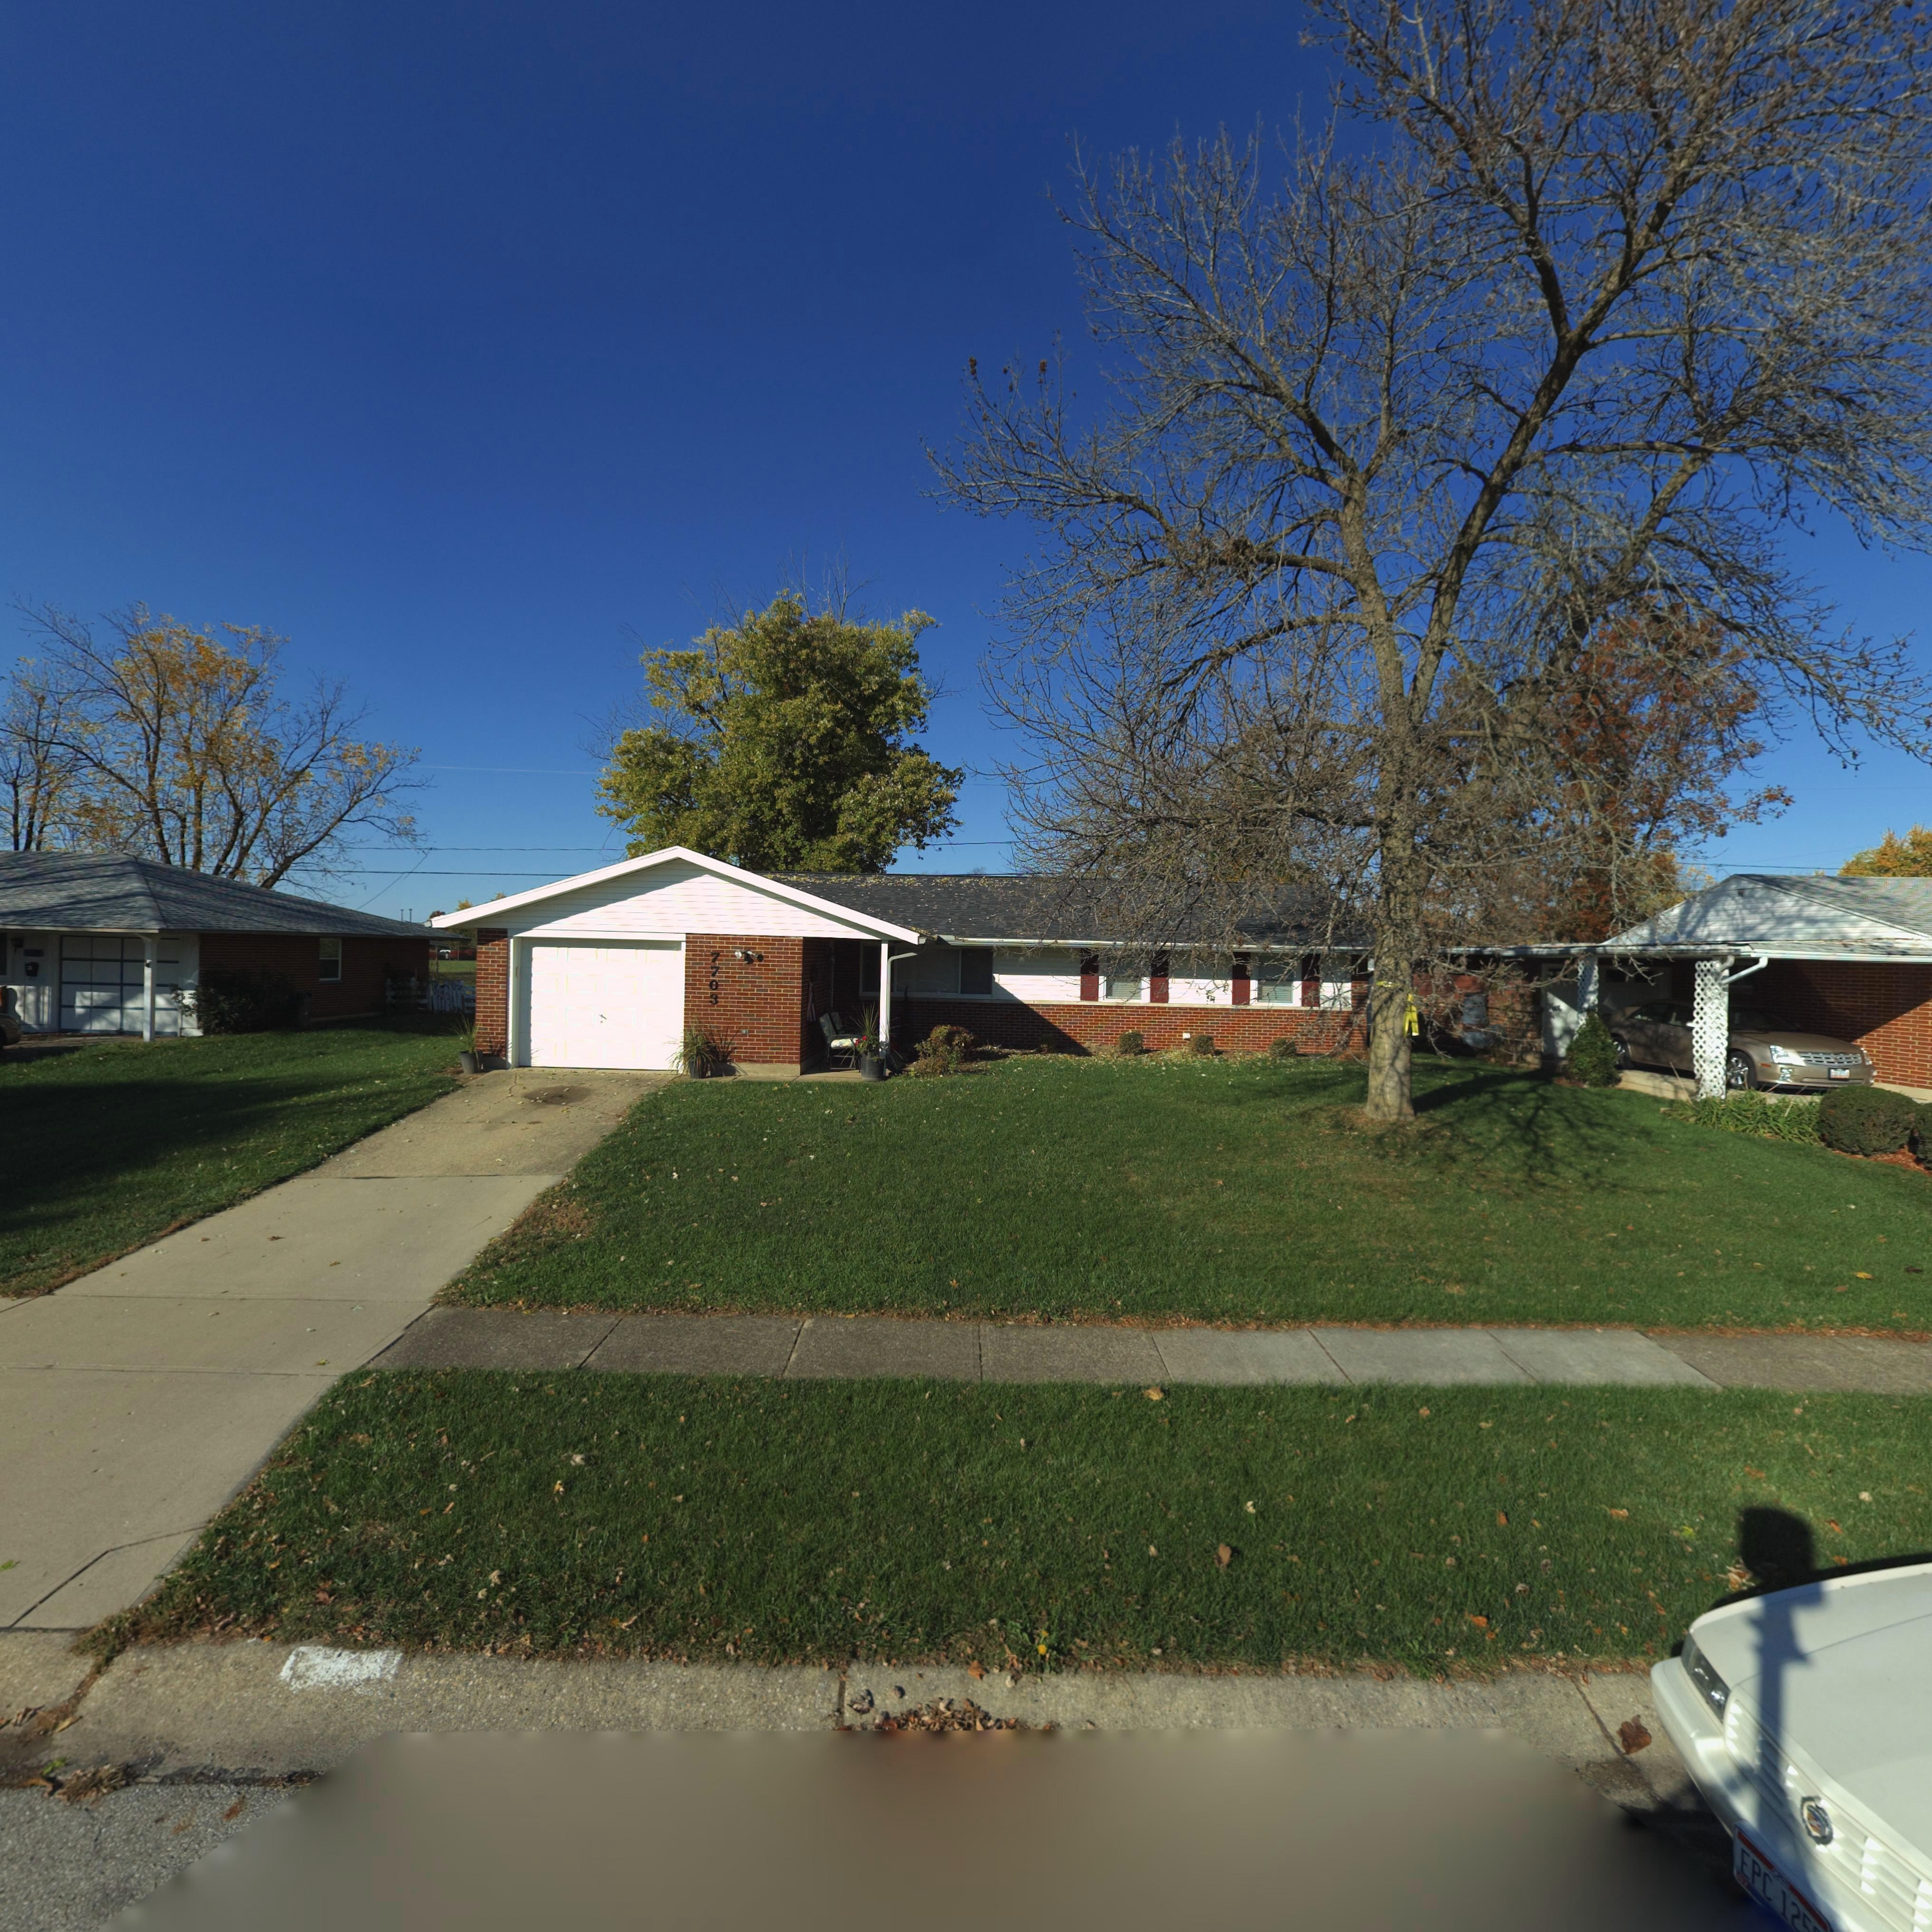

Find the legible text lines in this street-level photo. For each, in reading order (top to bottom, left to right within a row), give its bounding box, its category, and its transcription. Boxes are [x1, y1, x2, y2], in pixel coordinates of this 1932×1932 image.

[708, 951, 721, 1006] StreetNumber: 7703